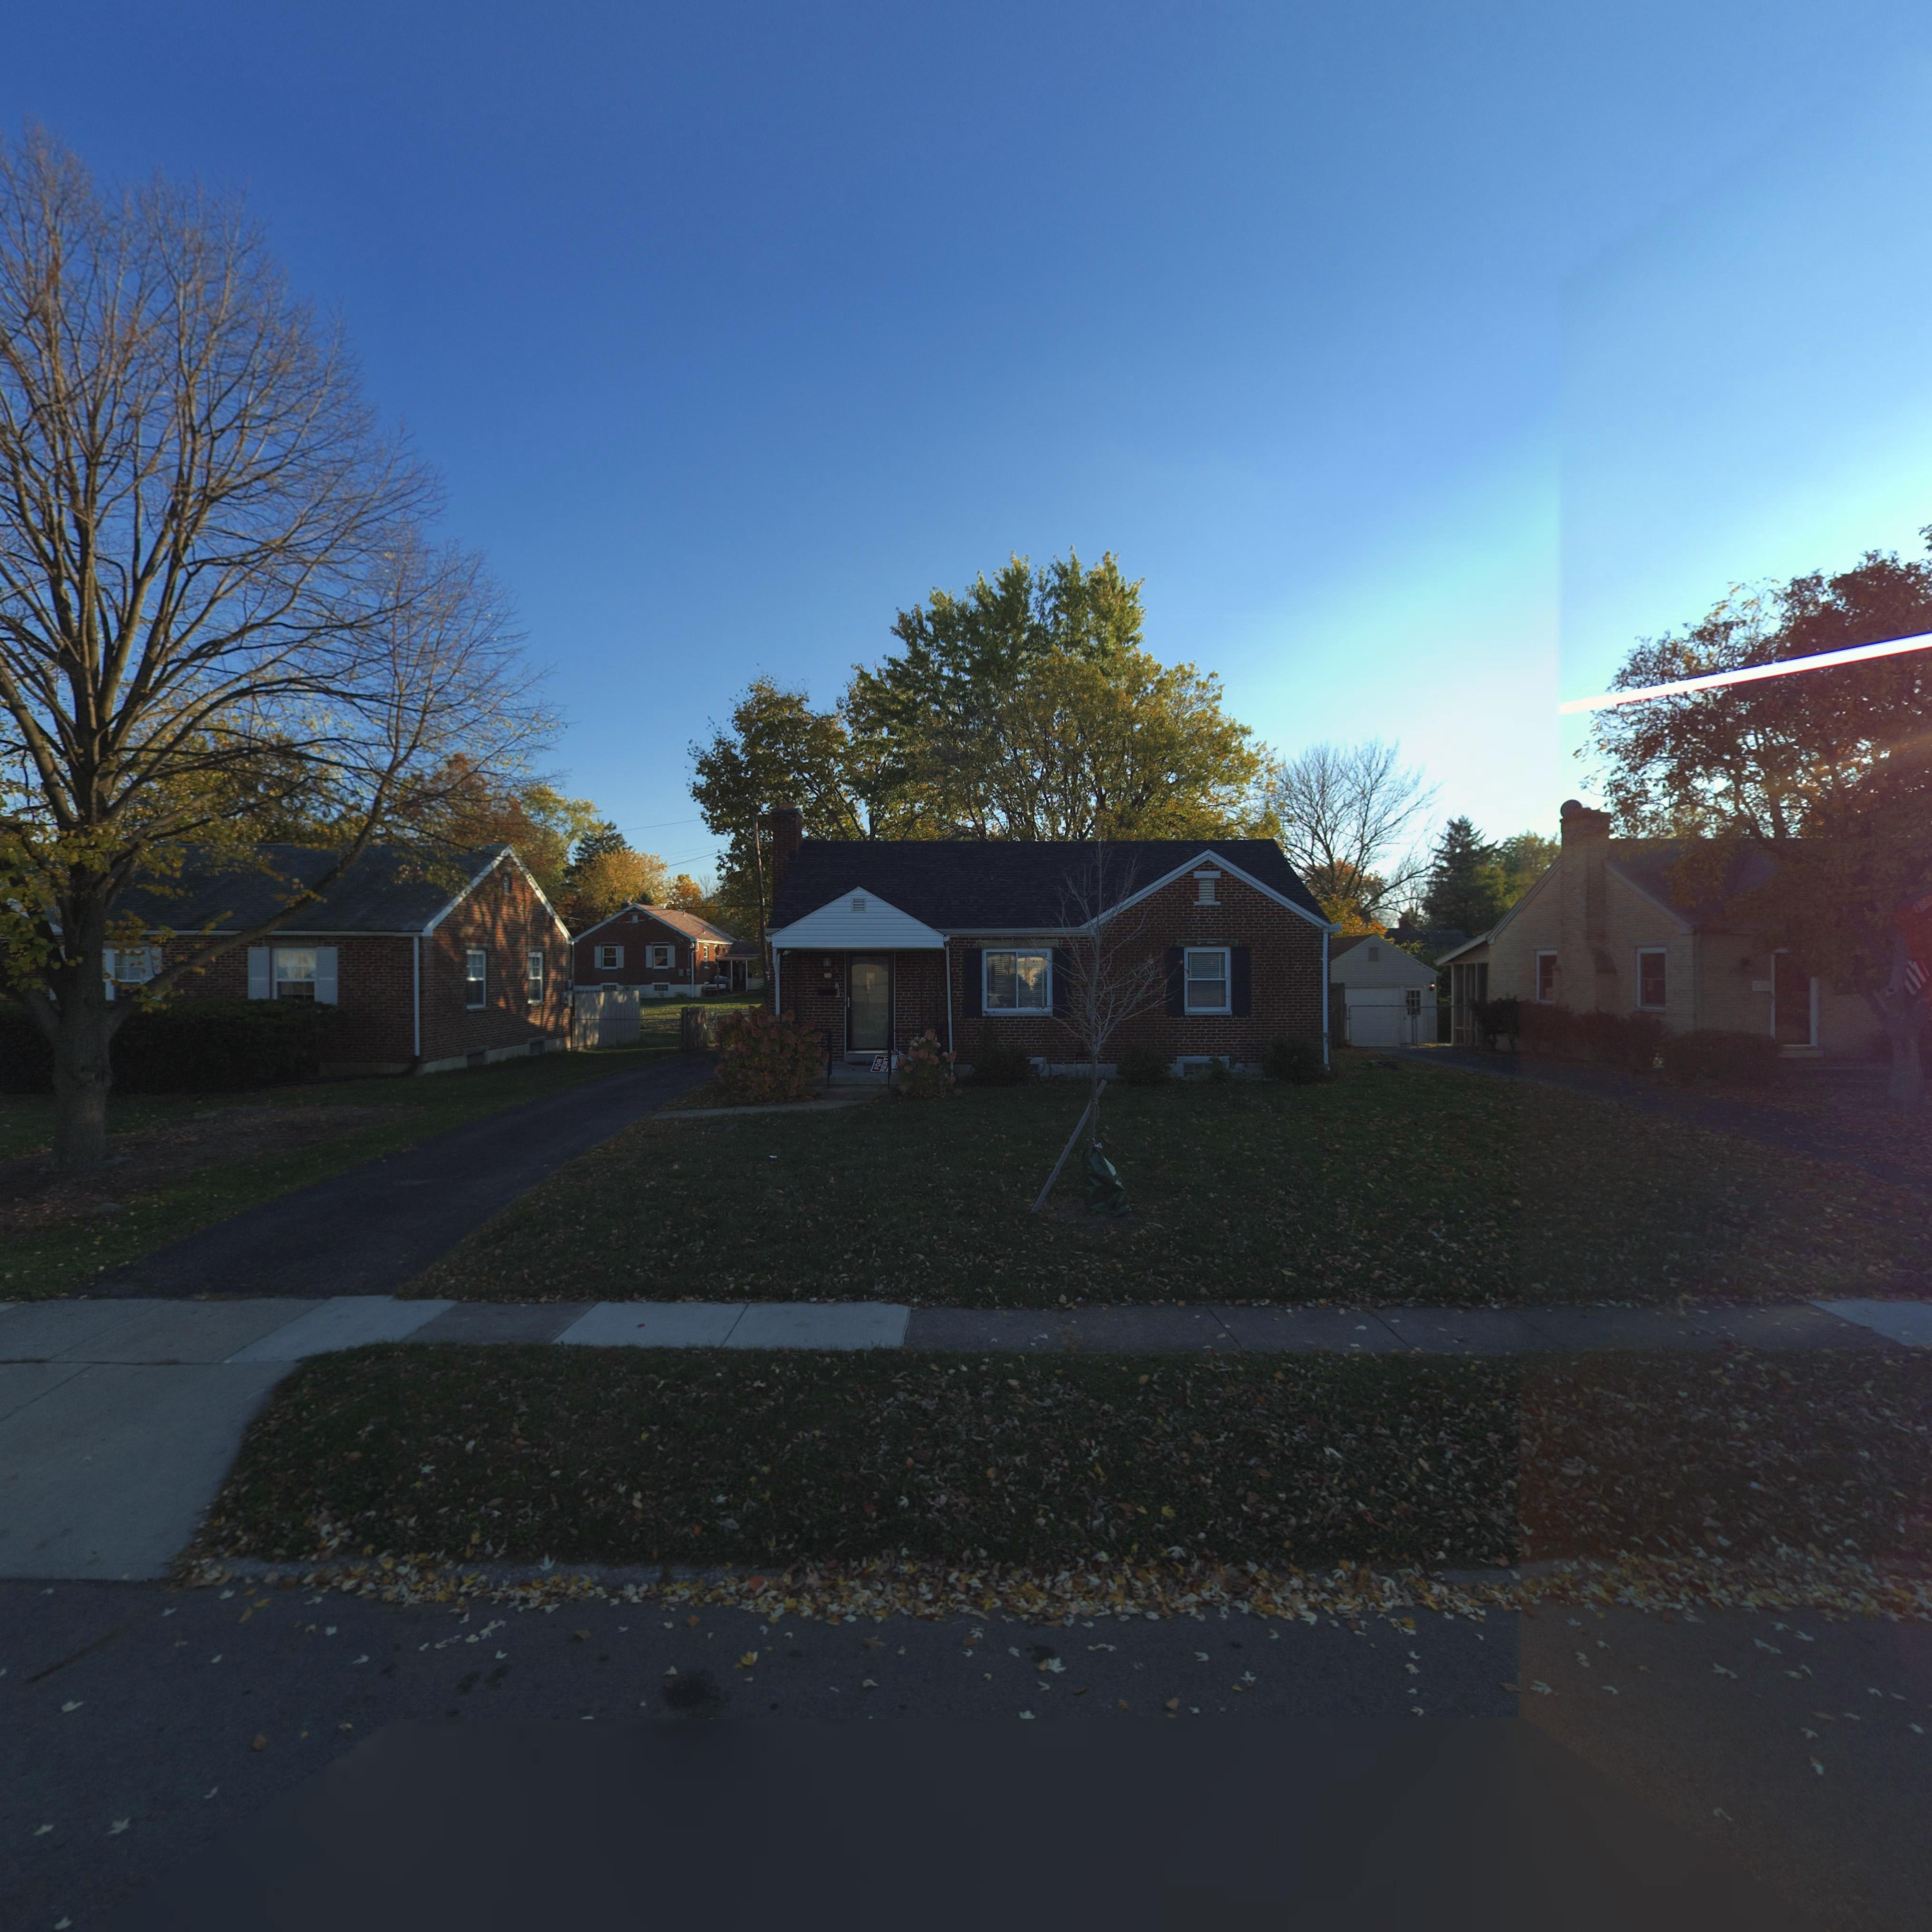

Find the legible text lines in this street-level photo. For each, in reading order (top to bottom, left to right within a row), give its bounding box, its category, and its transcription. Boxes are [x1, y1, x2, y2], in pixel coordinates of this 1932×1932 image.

[1755, 983, 1769, 988] StreetNumber: 116